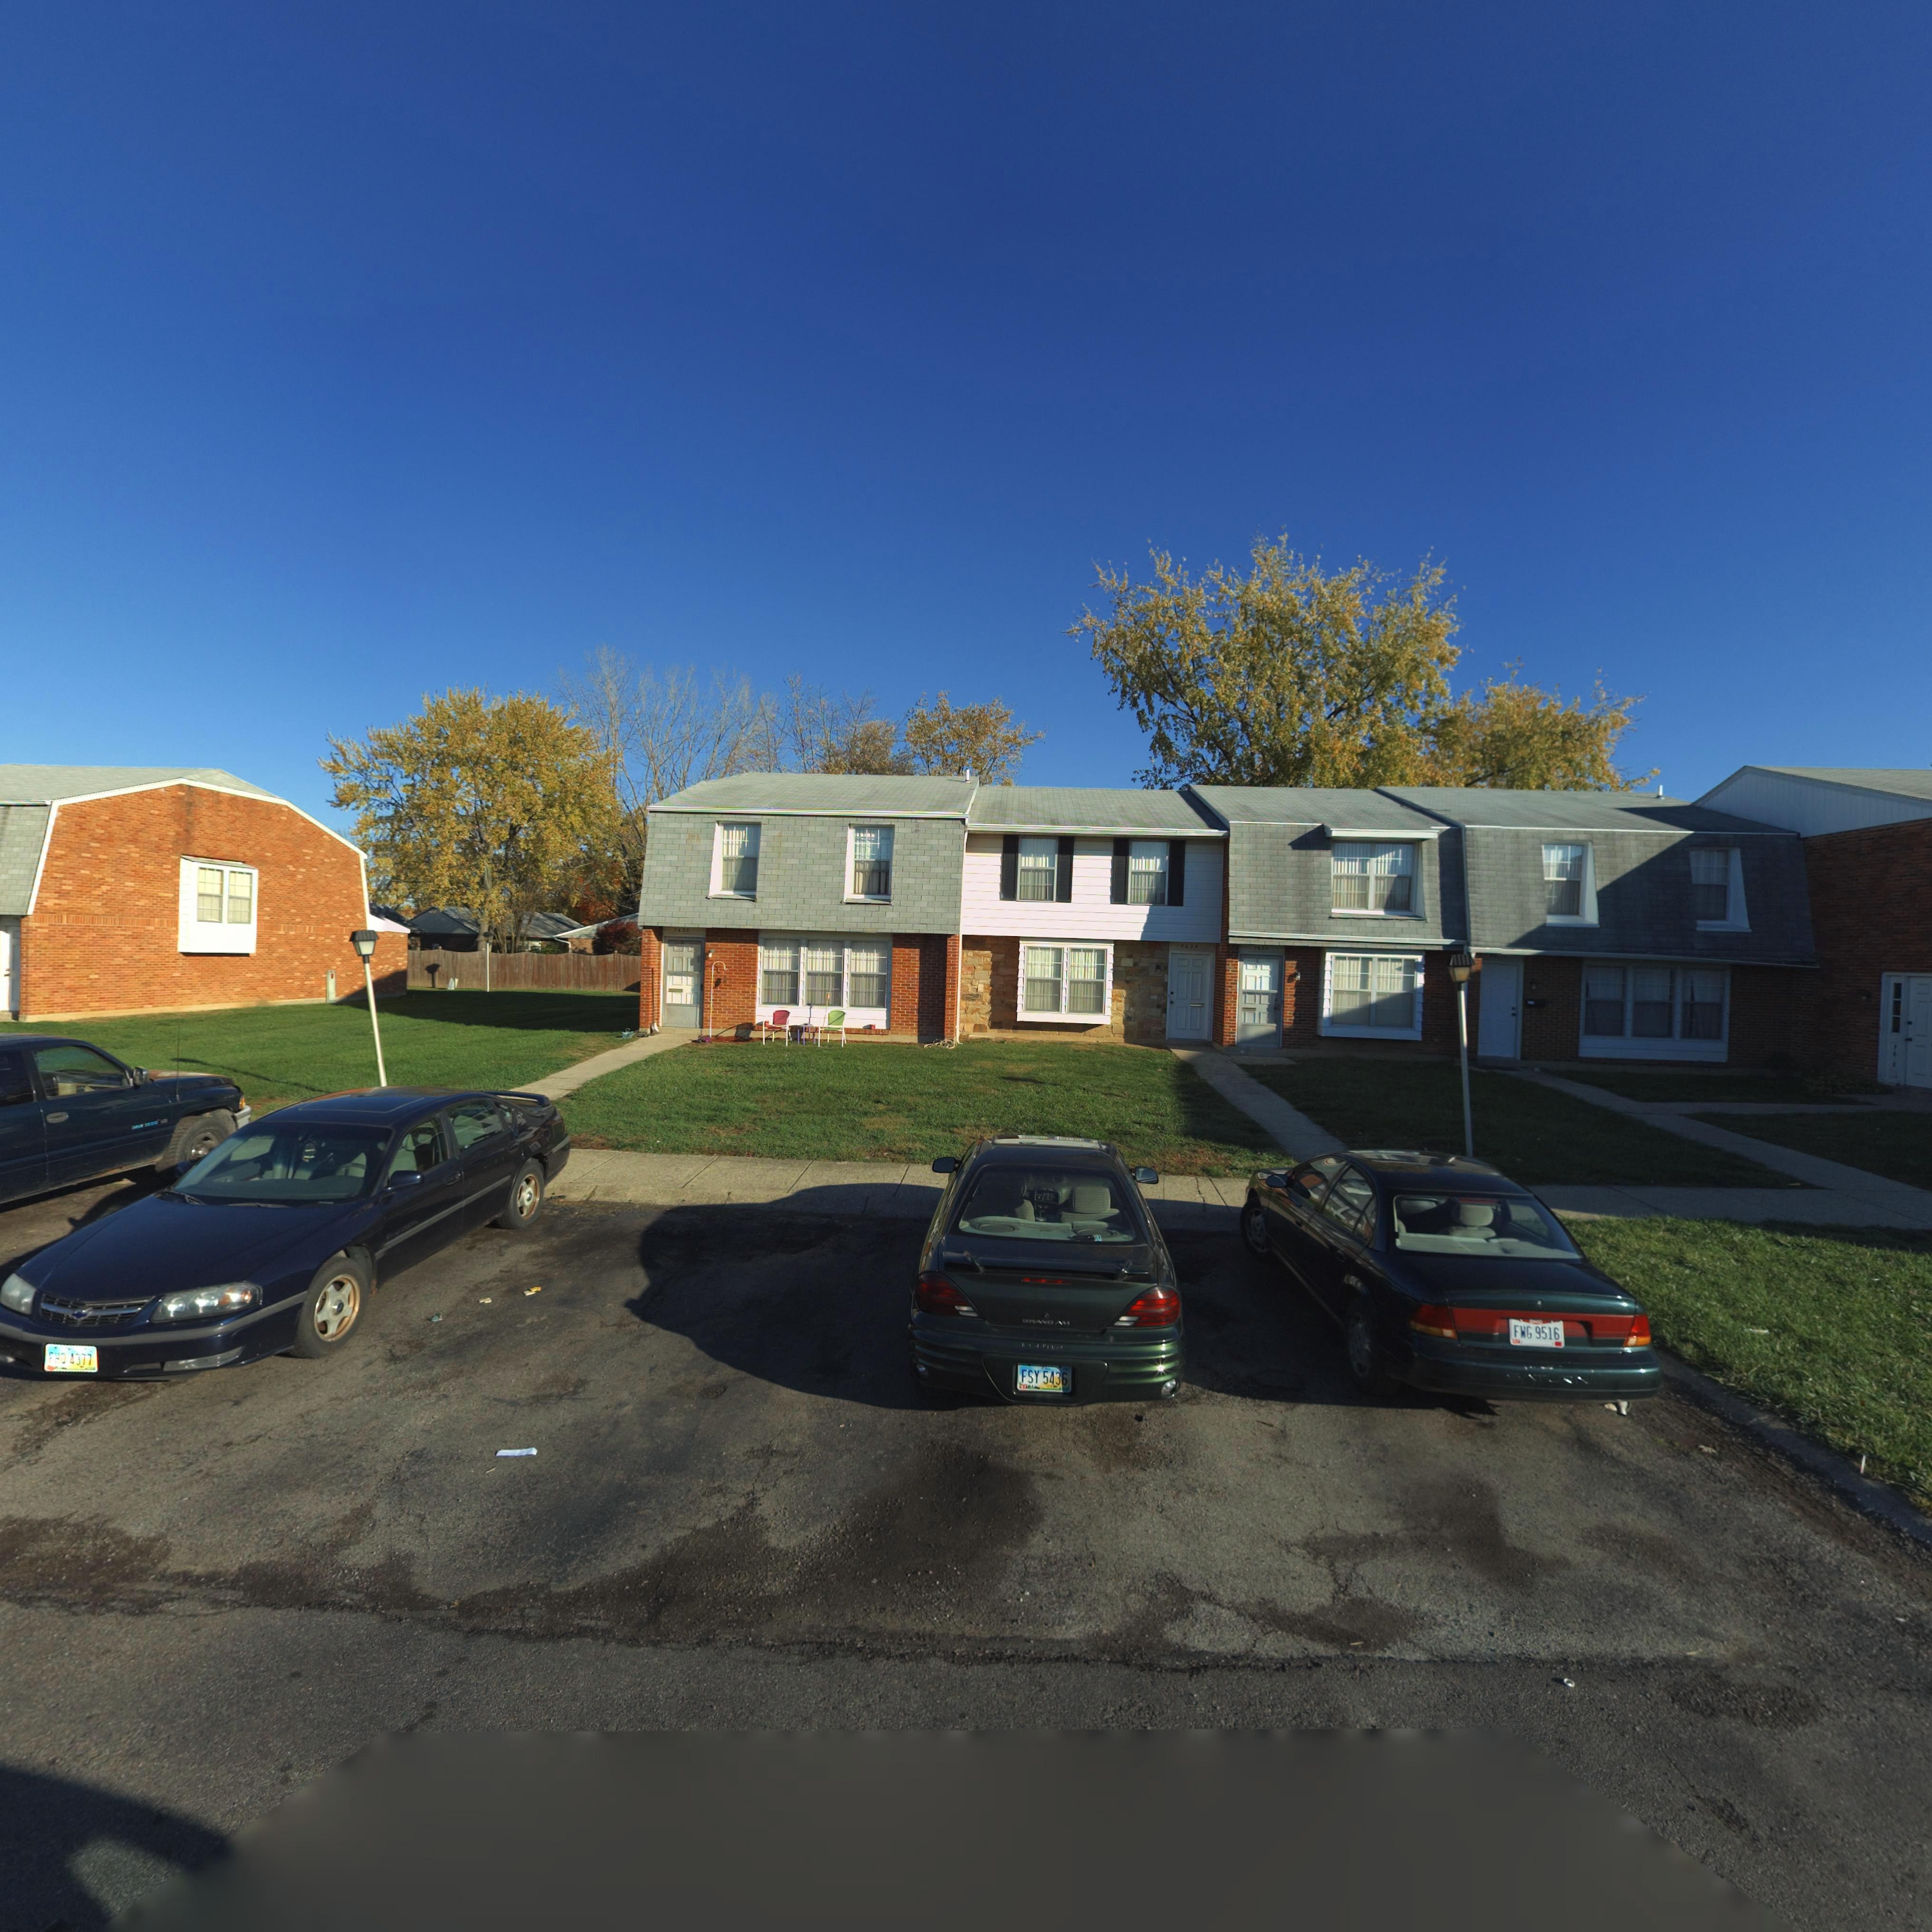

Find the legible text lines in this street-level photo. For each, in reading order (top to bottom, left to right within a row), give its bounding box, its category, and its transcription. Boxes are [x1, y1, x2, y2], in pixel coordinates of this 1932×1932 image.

[11, 916, 19, 921] StreetNumber: 7*
[673, 927, 689, 933] StreetNumber: 7626
[1179, 944, 1199, 950] StreetNumber: 7624
[1253, 945, 1269, 950] StreetNumber: 7622
[1891, 1044, 1897, 1068] StreetNumber: 76*8